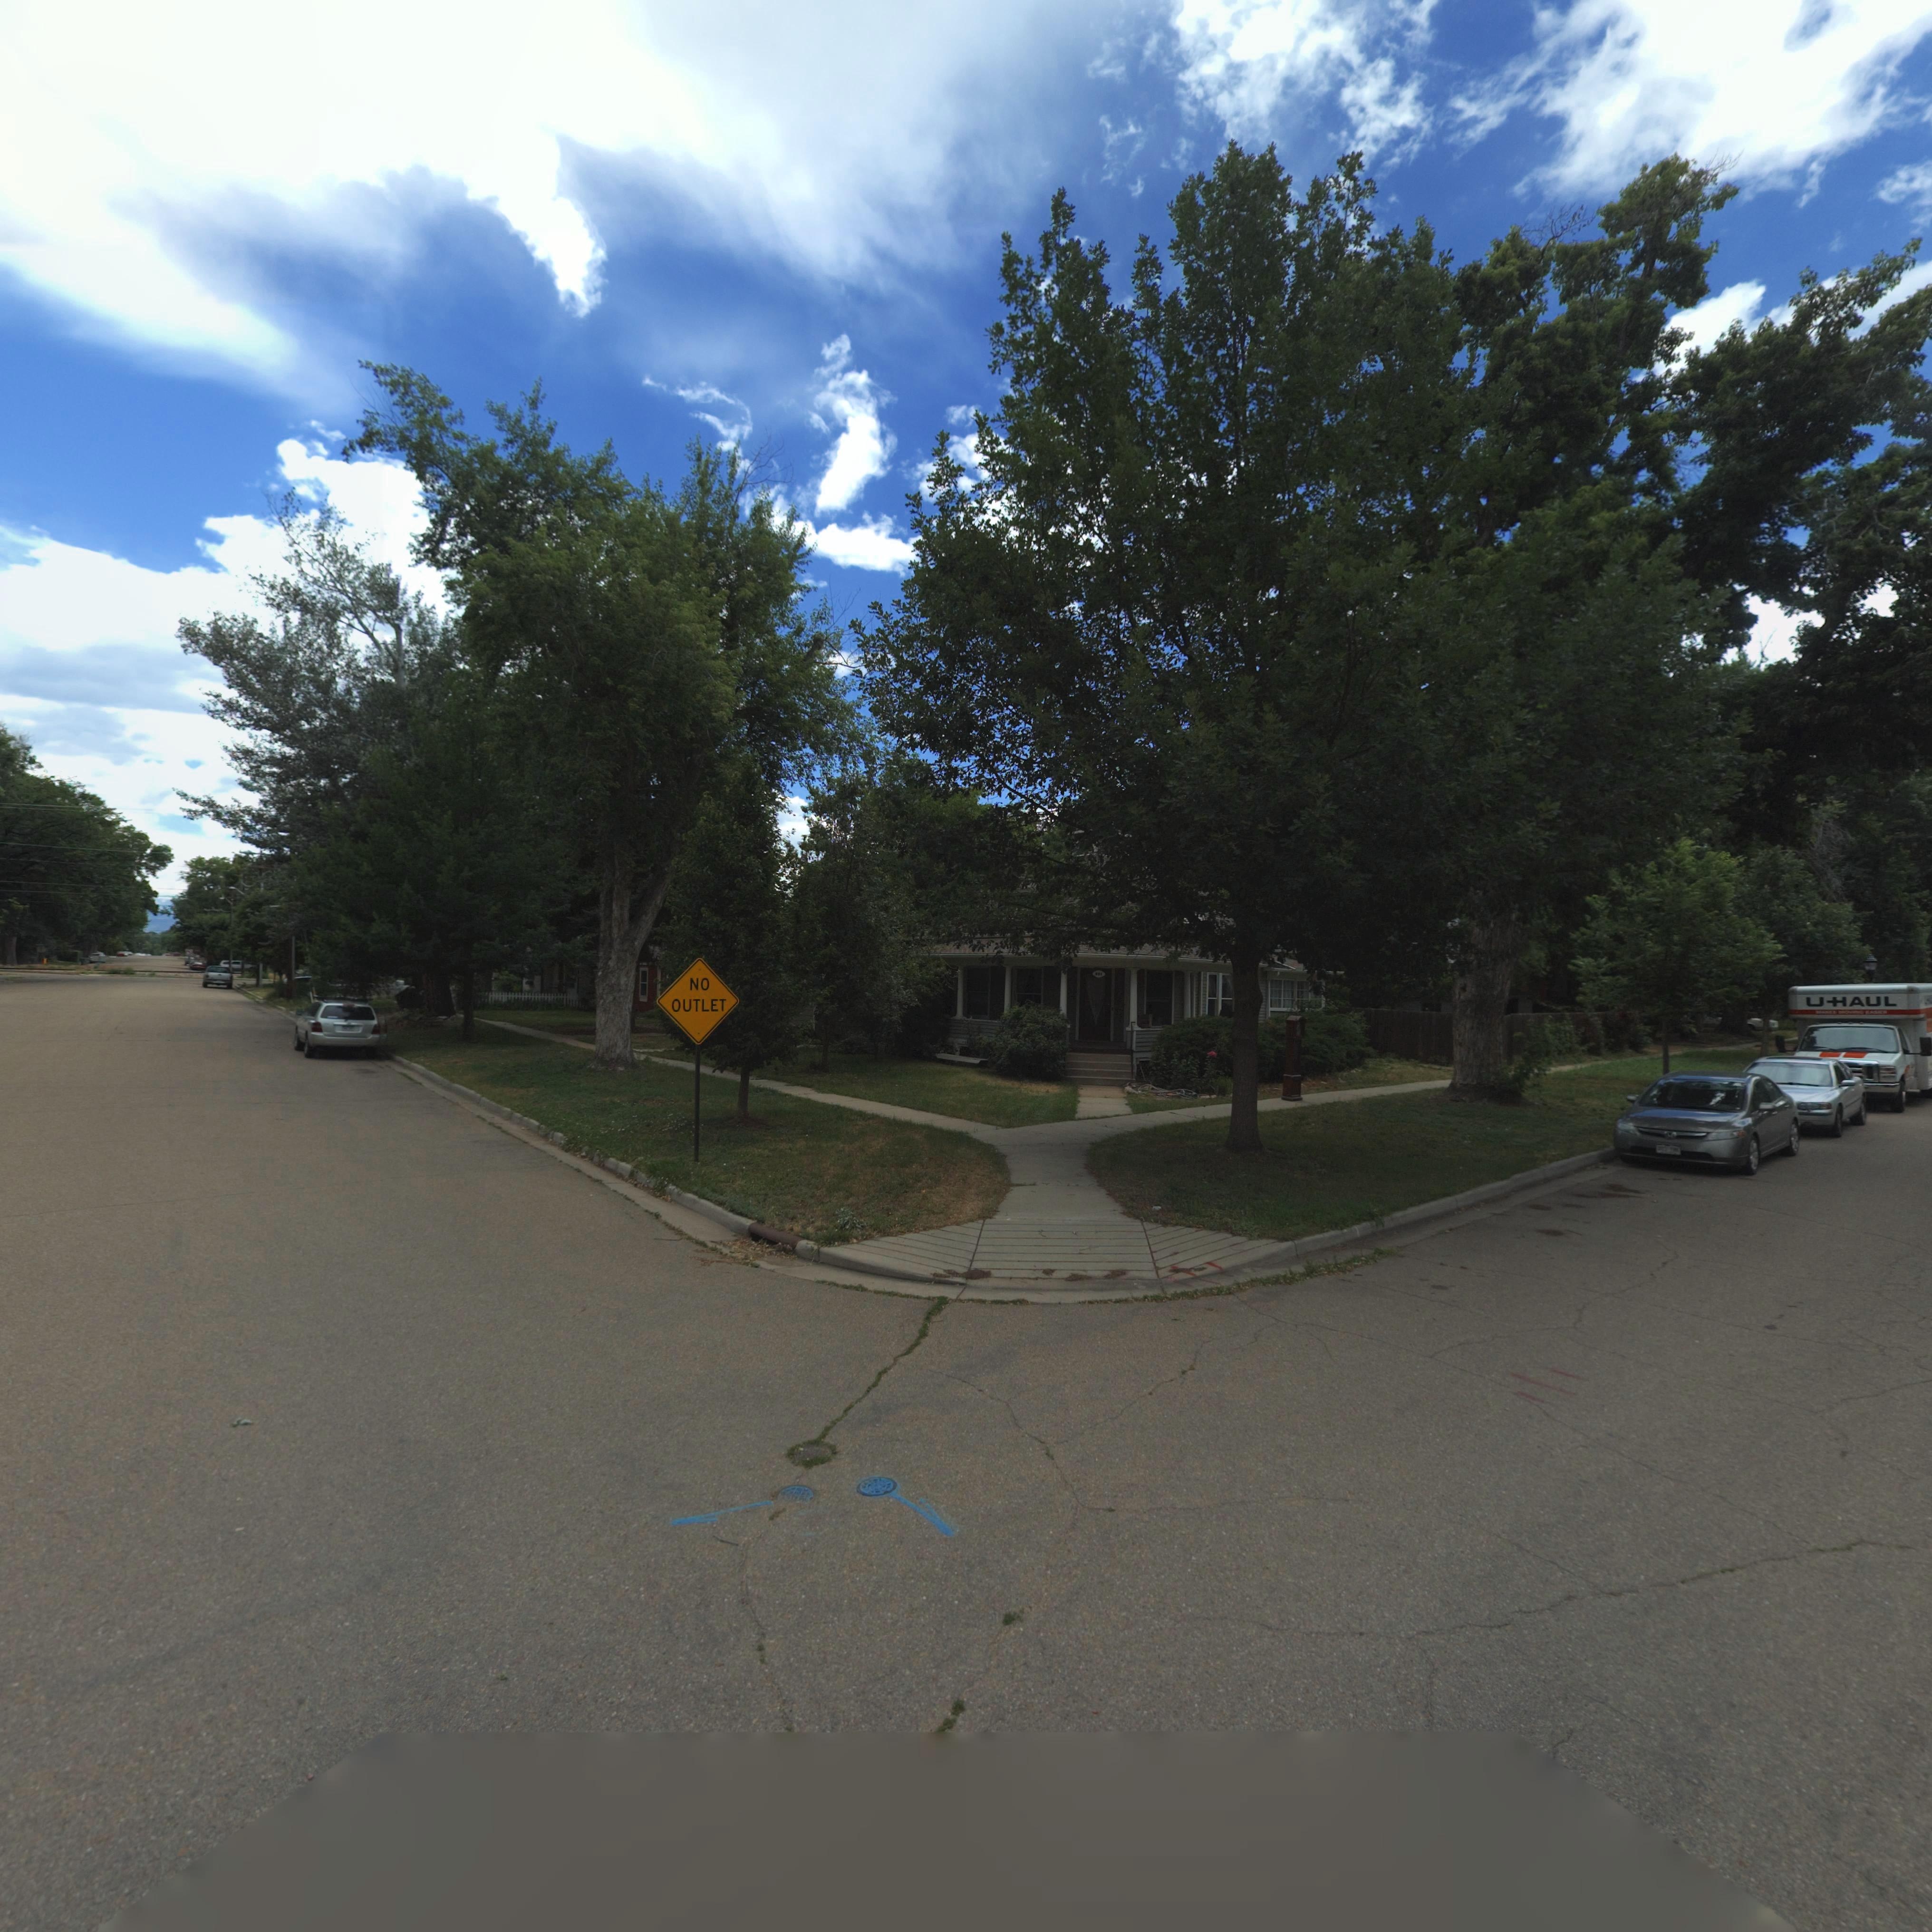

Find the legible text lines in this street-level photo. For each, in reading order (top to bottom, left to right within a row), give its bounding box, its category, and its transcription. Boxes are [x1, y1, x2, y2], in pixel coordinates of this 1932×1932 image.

[1095, 972, 1102, 976] StreetNumber: 151